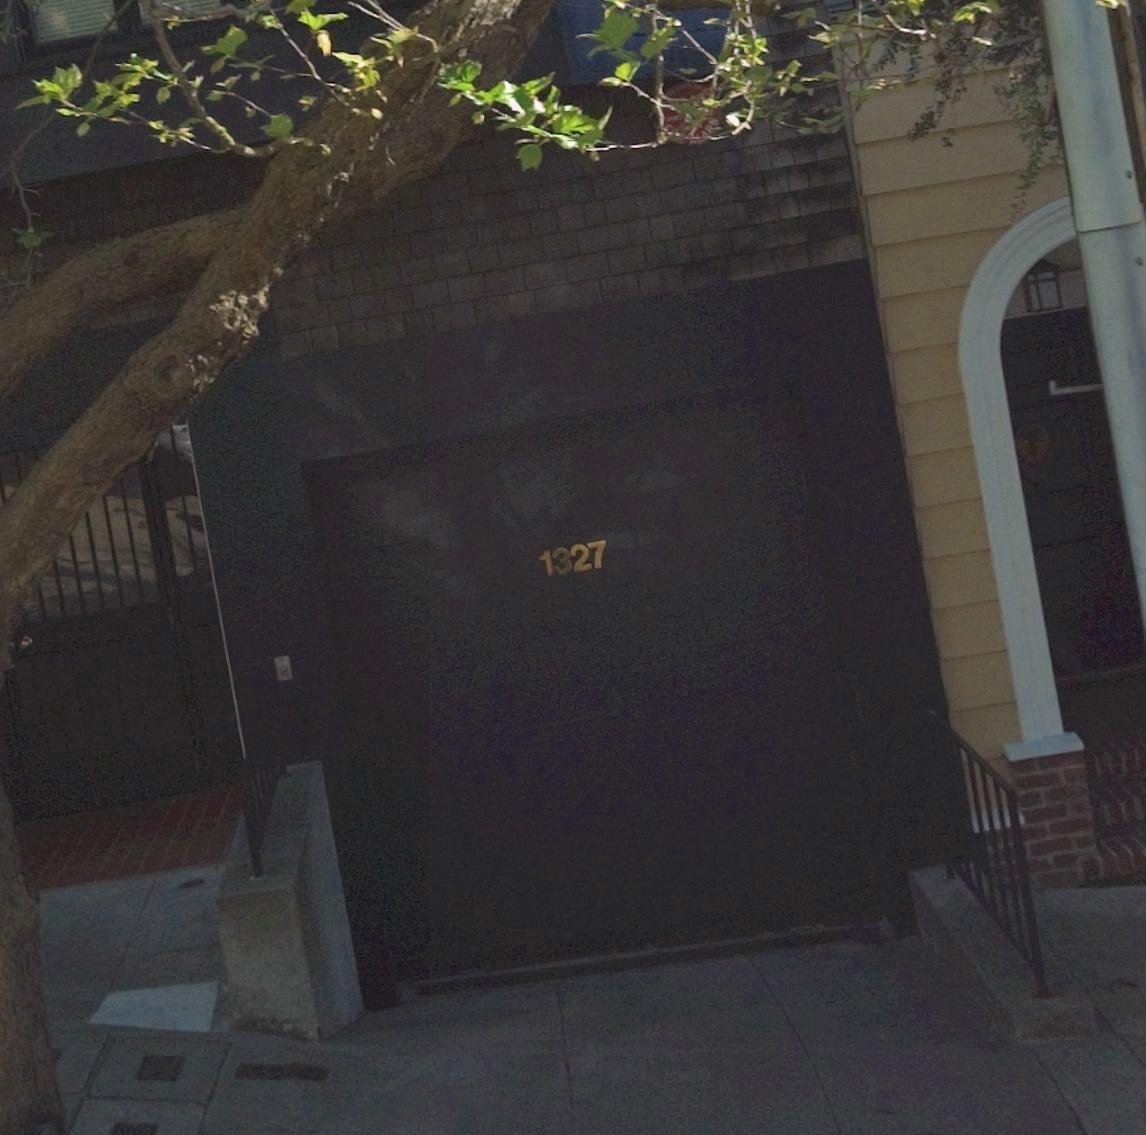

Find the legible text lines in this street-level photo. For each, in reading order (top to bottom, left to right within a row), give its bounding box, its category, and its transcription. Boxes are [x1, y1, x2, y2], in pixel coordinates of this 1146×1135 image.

[533, 536, 612, 581] StreetNumber: 1327